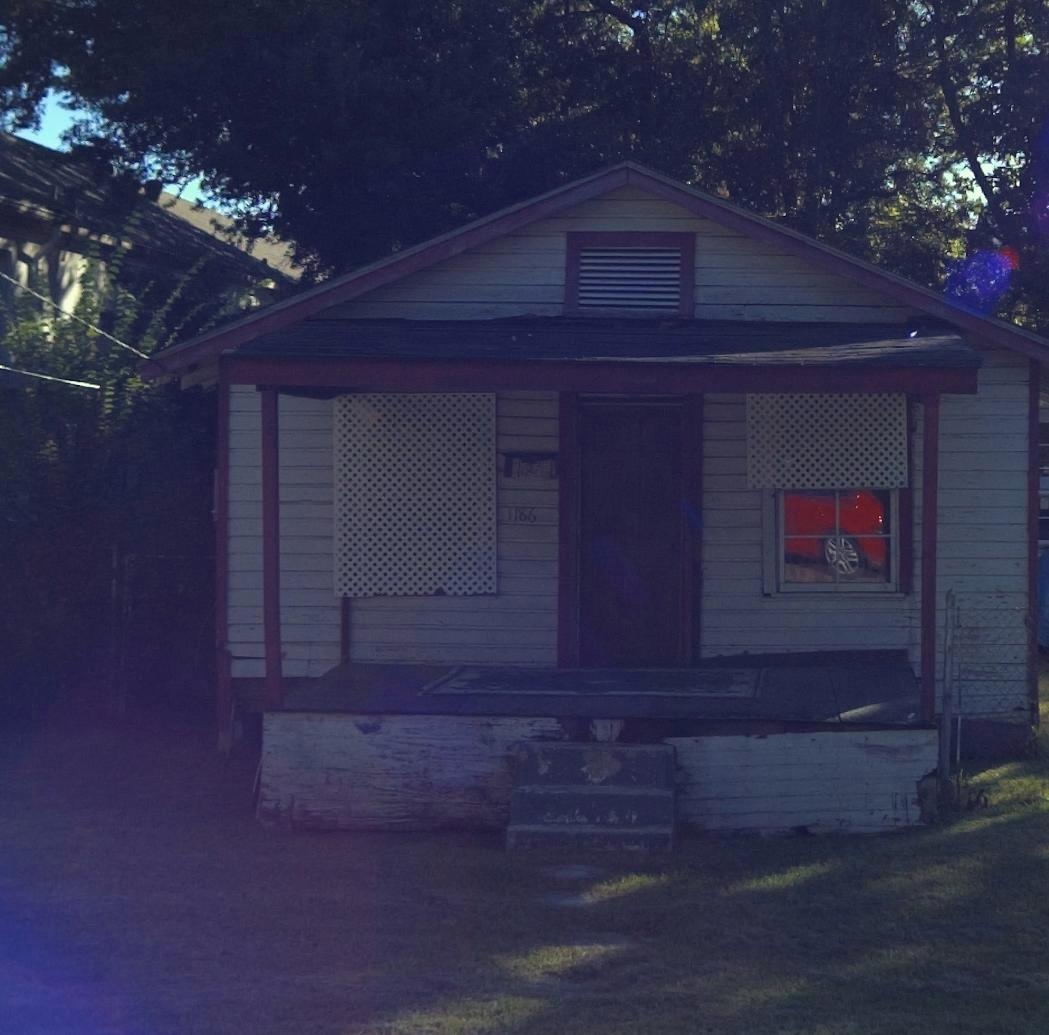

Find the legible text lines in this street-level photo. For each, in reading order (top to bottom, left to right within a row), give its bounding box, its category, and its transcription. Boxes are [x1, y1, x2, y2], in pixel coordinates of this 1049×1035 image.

[506, 505, 538, 524] StreetNumber: 1186